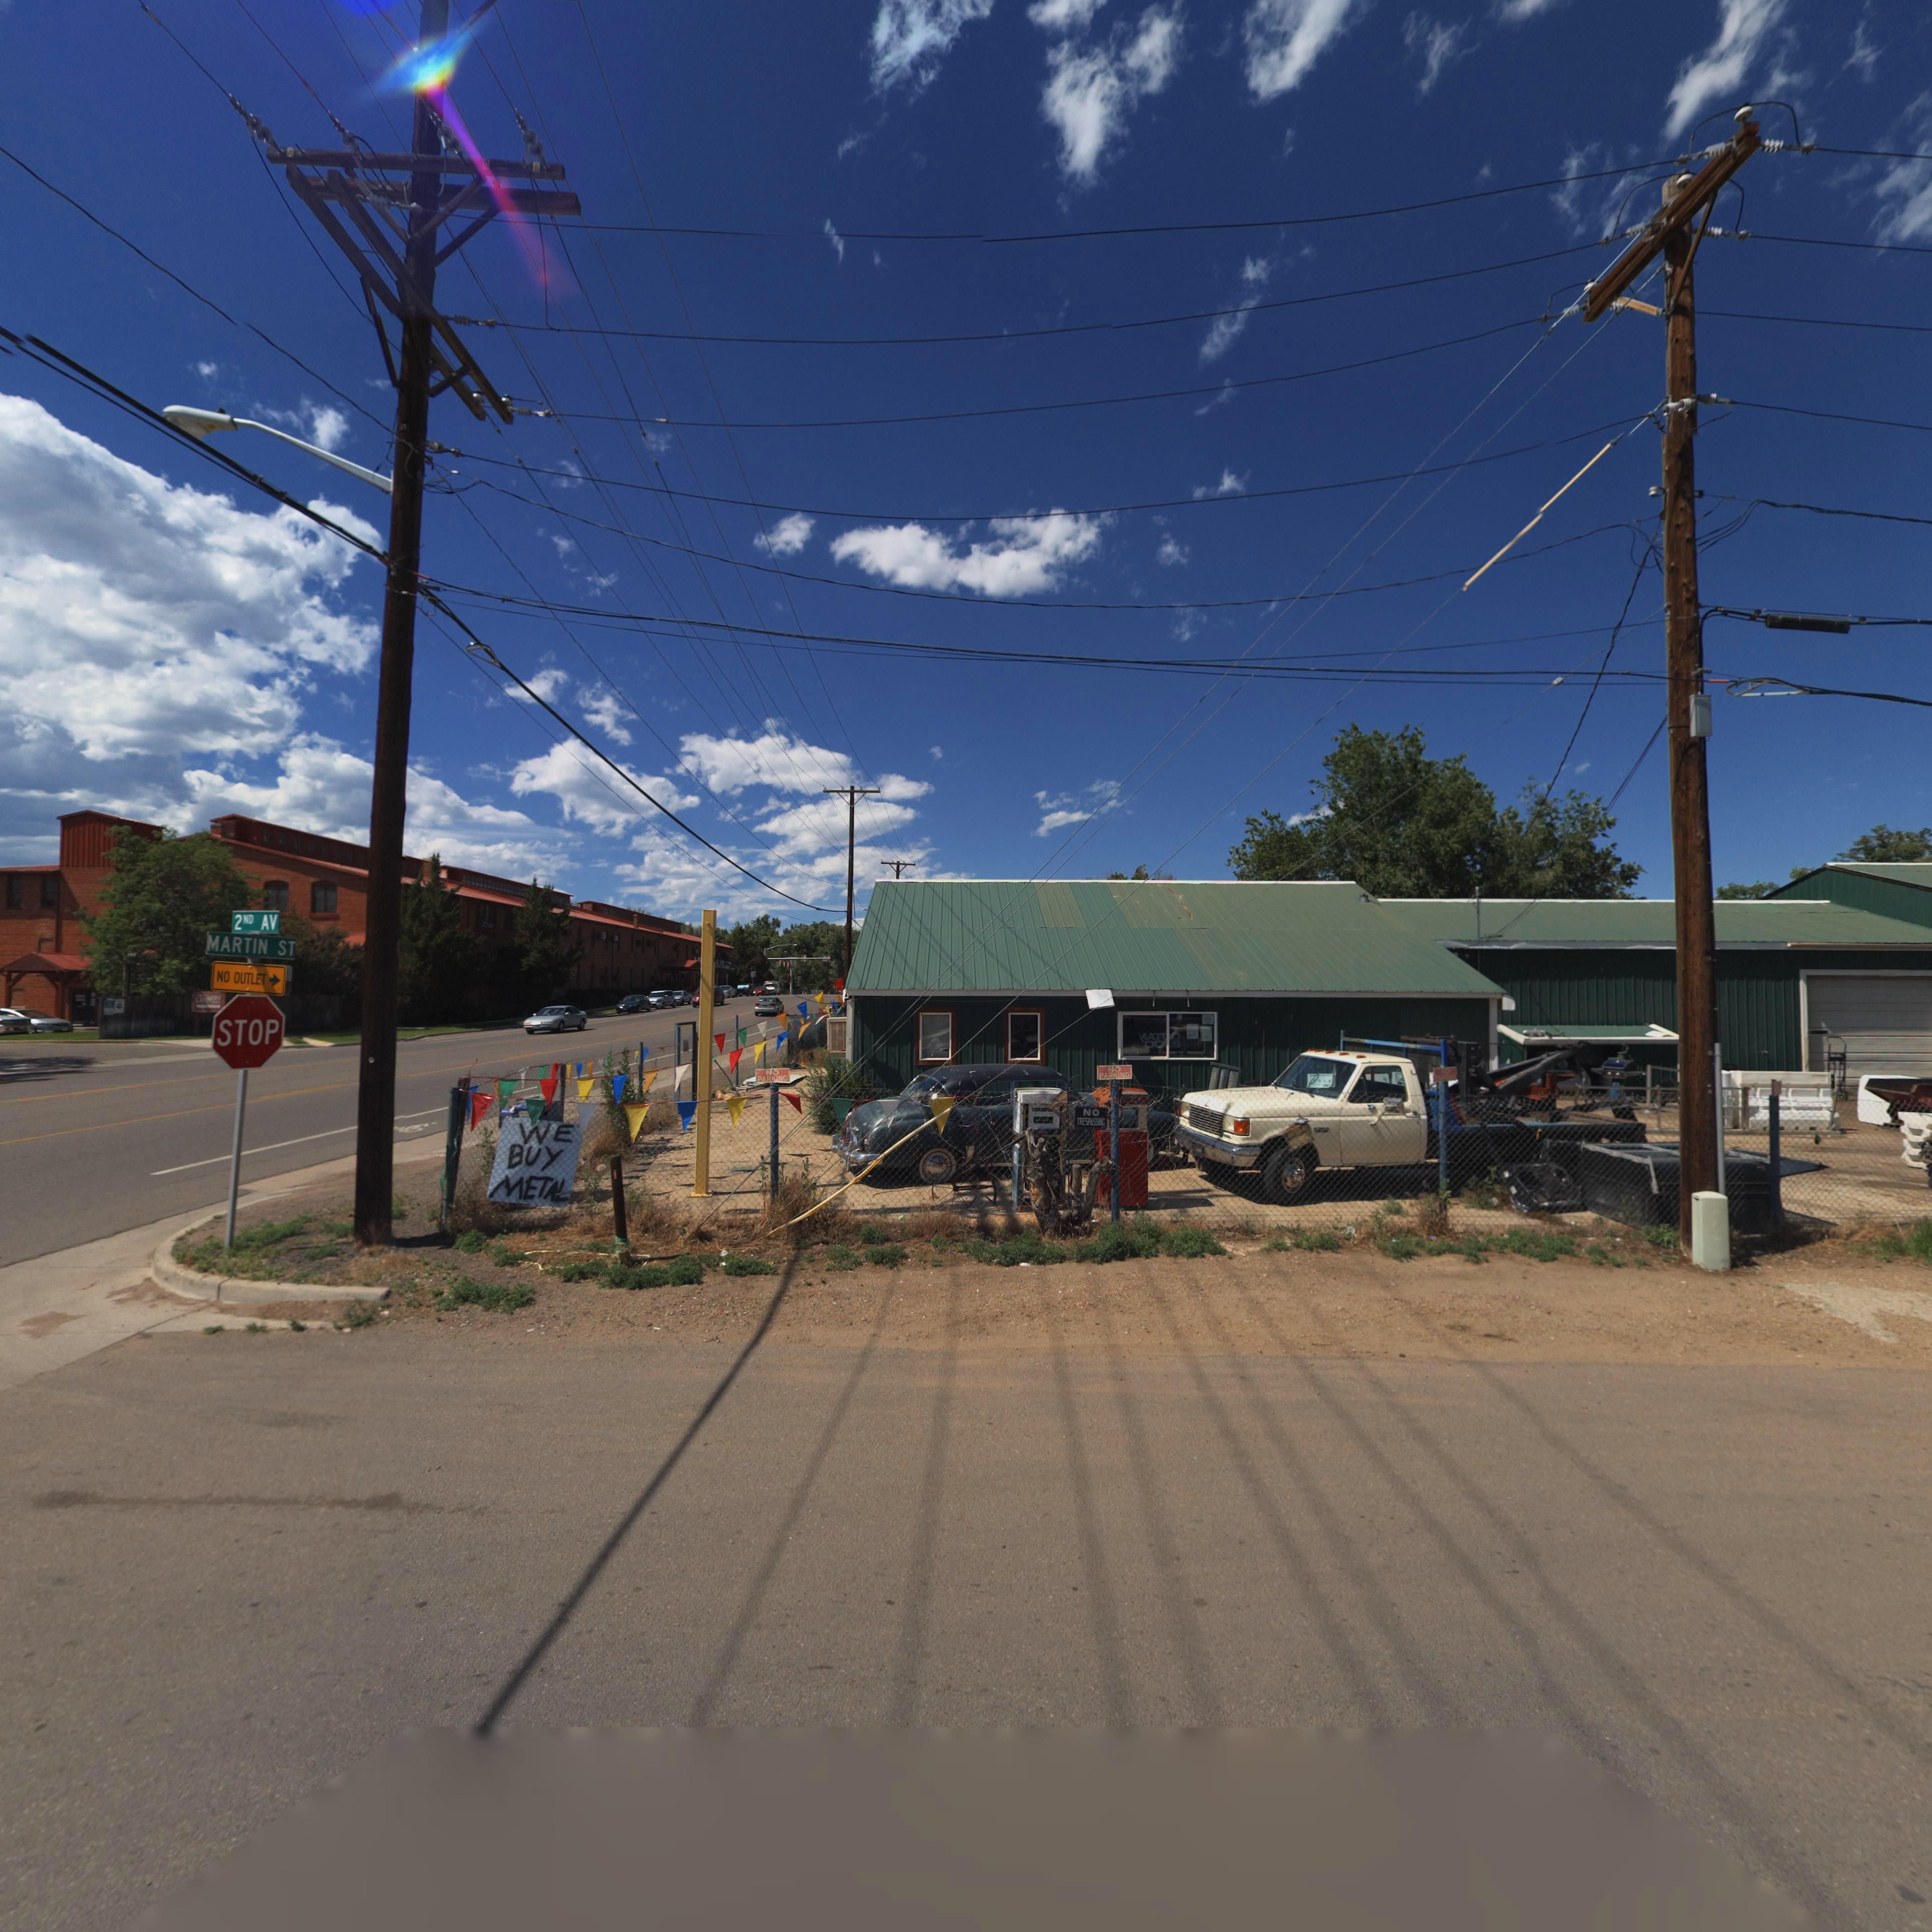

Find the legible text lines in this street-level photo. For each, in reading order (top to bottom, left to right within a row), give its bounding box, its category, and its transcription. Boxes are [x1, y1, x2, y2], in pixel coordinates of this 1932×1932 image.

[234, 913, 278, 930] StreetName: 2ND AV
[206, 934, 295, 956] StreetName: MARTIN ST